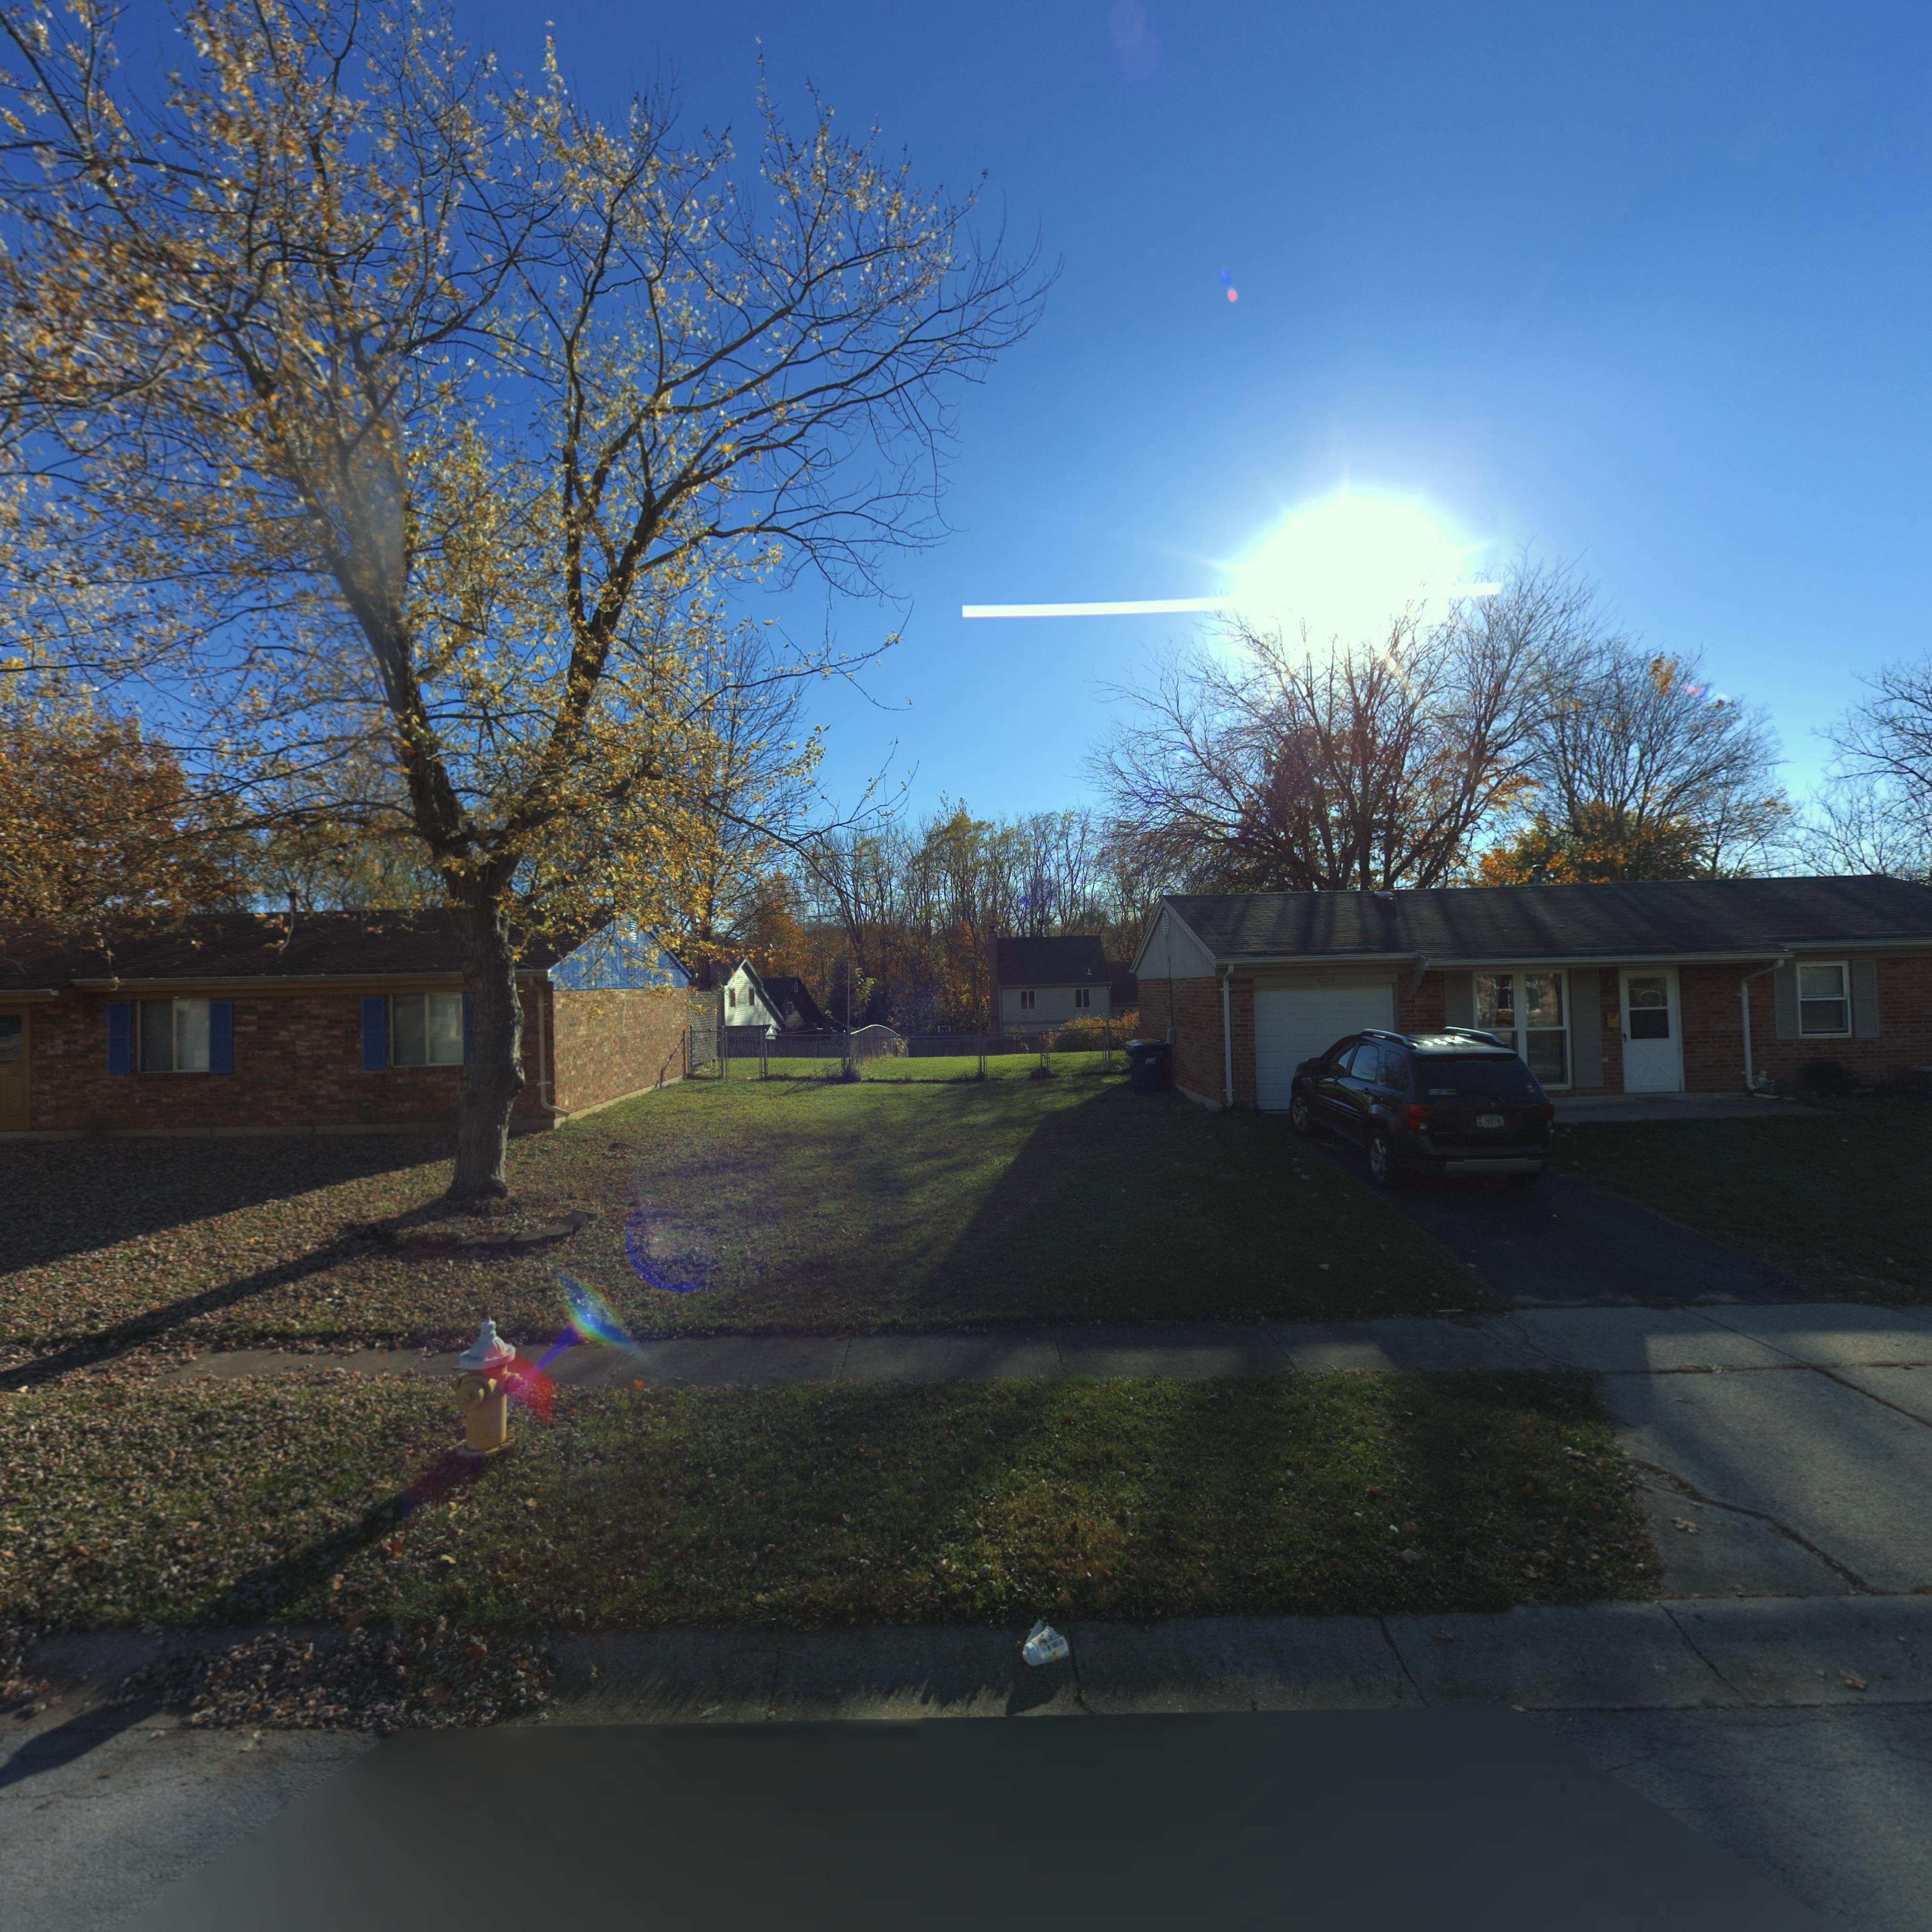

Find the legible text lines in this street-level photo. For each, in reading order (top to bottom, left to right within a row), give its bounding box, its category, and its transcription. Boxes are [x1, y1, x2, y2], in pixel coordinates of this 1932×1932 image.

[1315, 976, 1334, 984] StreetNumber: 5026